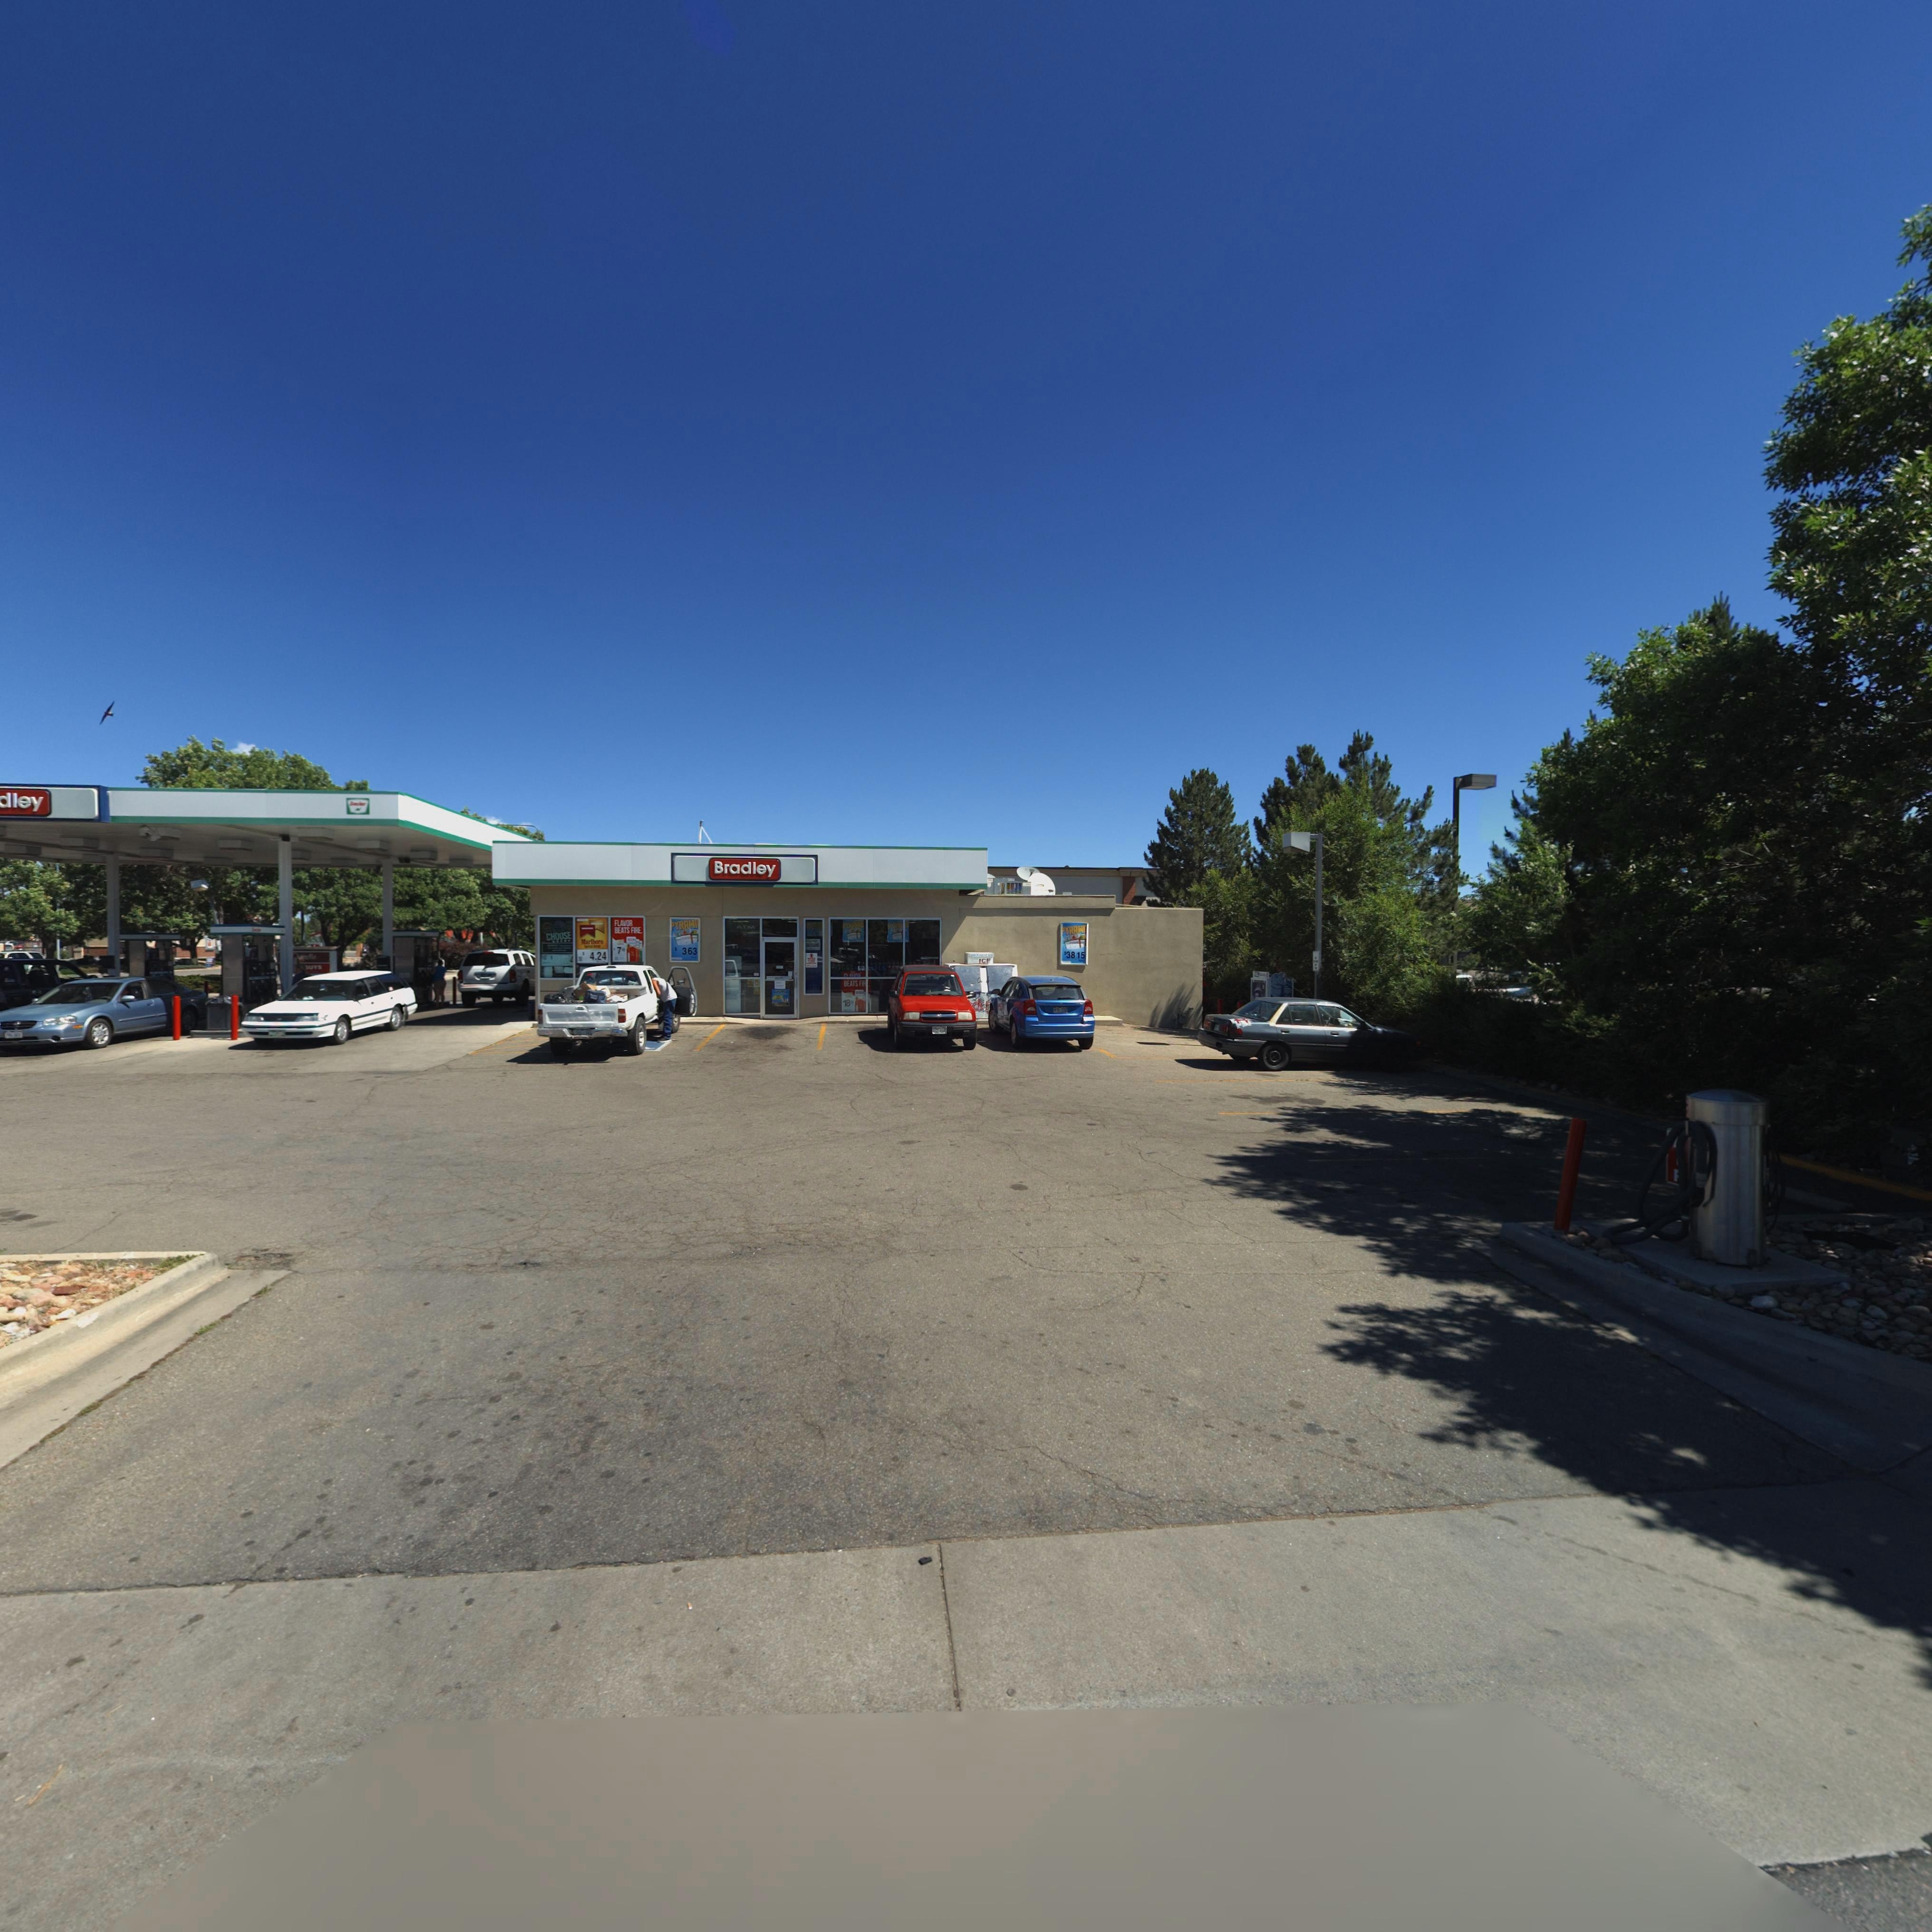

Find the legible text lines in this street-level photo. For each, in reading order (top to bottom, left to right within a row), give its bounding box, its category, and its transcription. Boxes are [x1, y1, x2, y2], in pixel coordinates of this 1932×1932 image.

[11, 792, 44, 813] BusinessName: ley
[349, 801, 366, 806] BusinessName: Sinclair
[713, 860, 776, 879] BusinessName: Bradley
[296, 953, 317, 961] BusinessName: **po***
[304, 965, 322, 970] BusinessName: *UYS